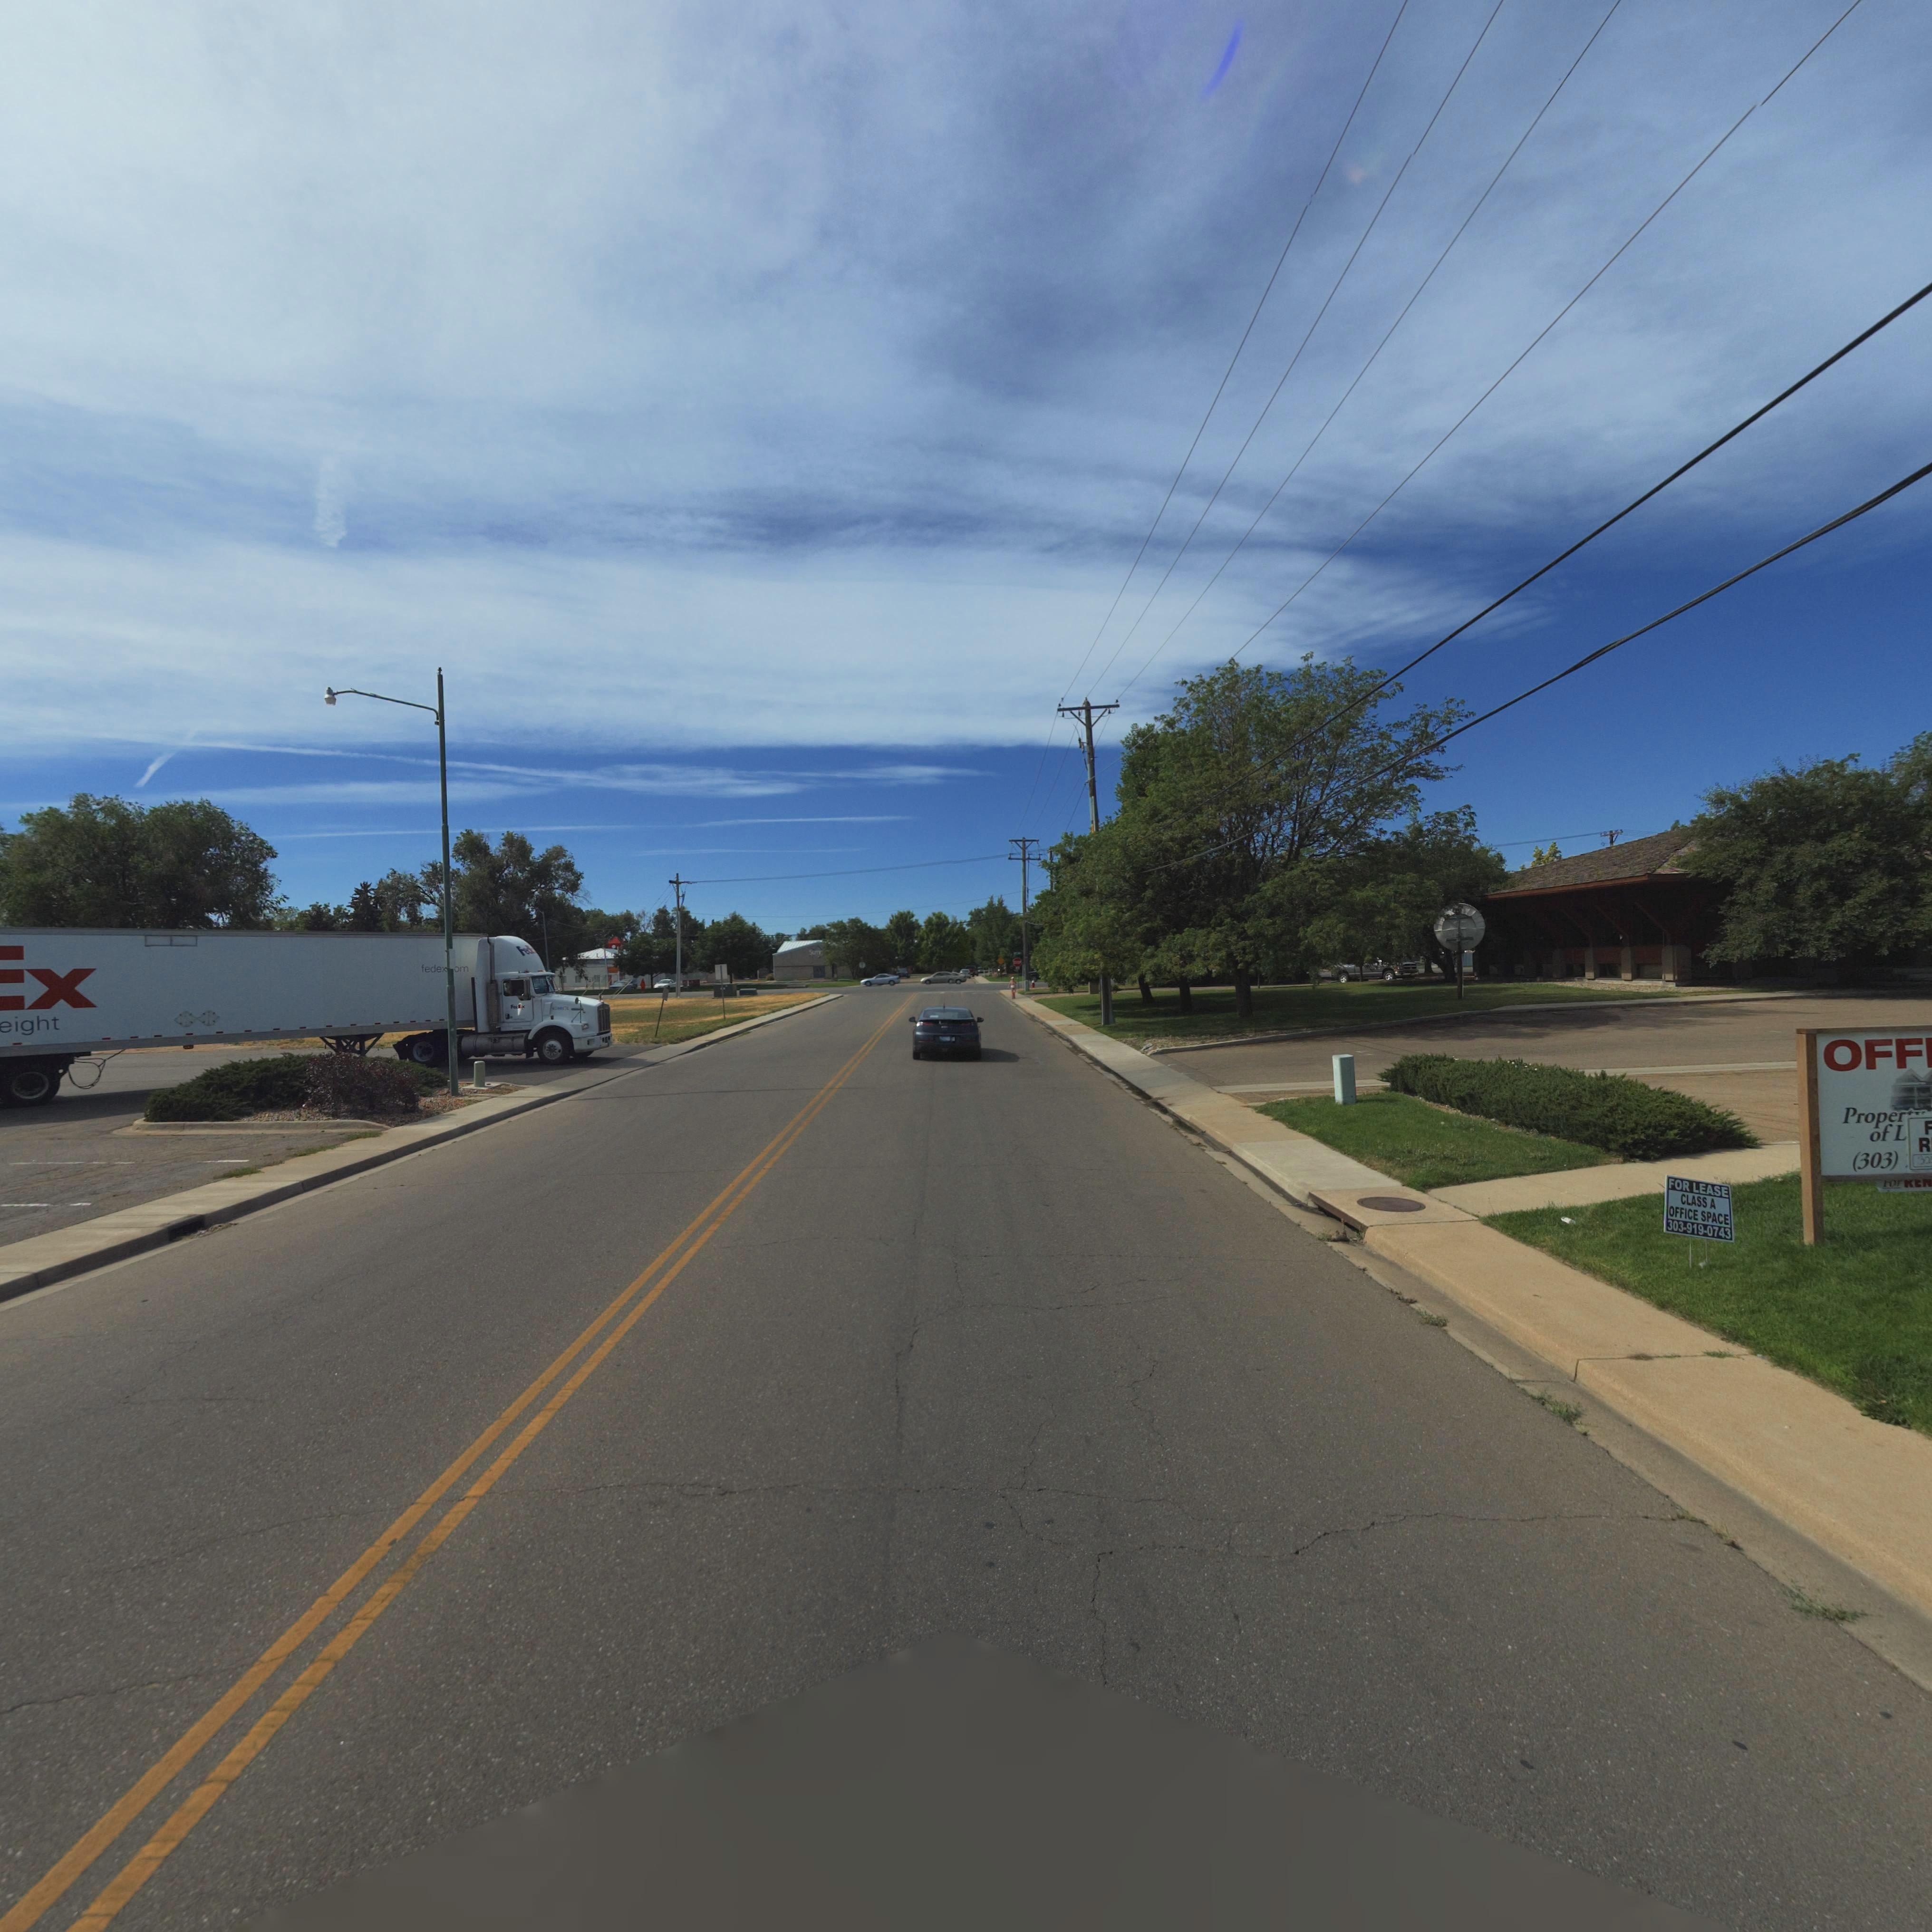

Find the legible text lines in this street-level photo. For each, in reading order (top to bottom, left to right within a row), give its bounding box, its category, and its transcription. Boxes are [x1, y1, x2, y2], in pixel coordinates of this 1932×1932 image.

[808, 949, 823, 956] BusinessName: Sum*